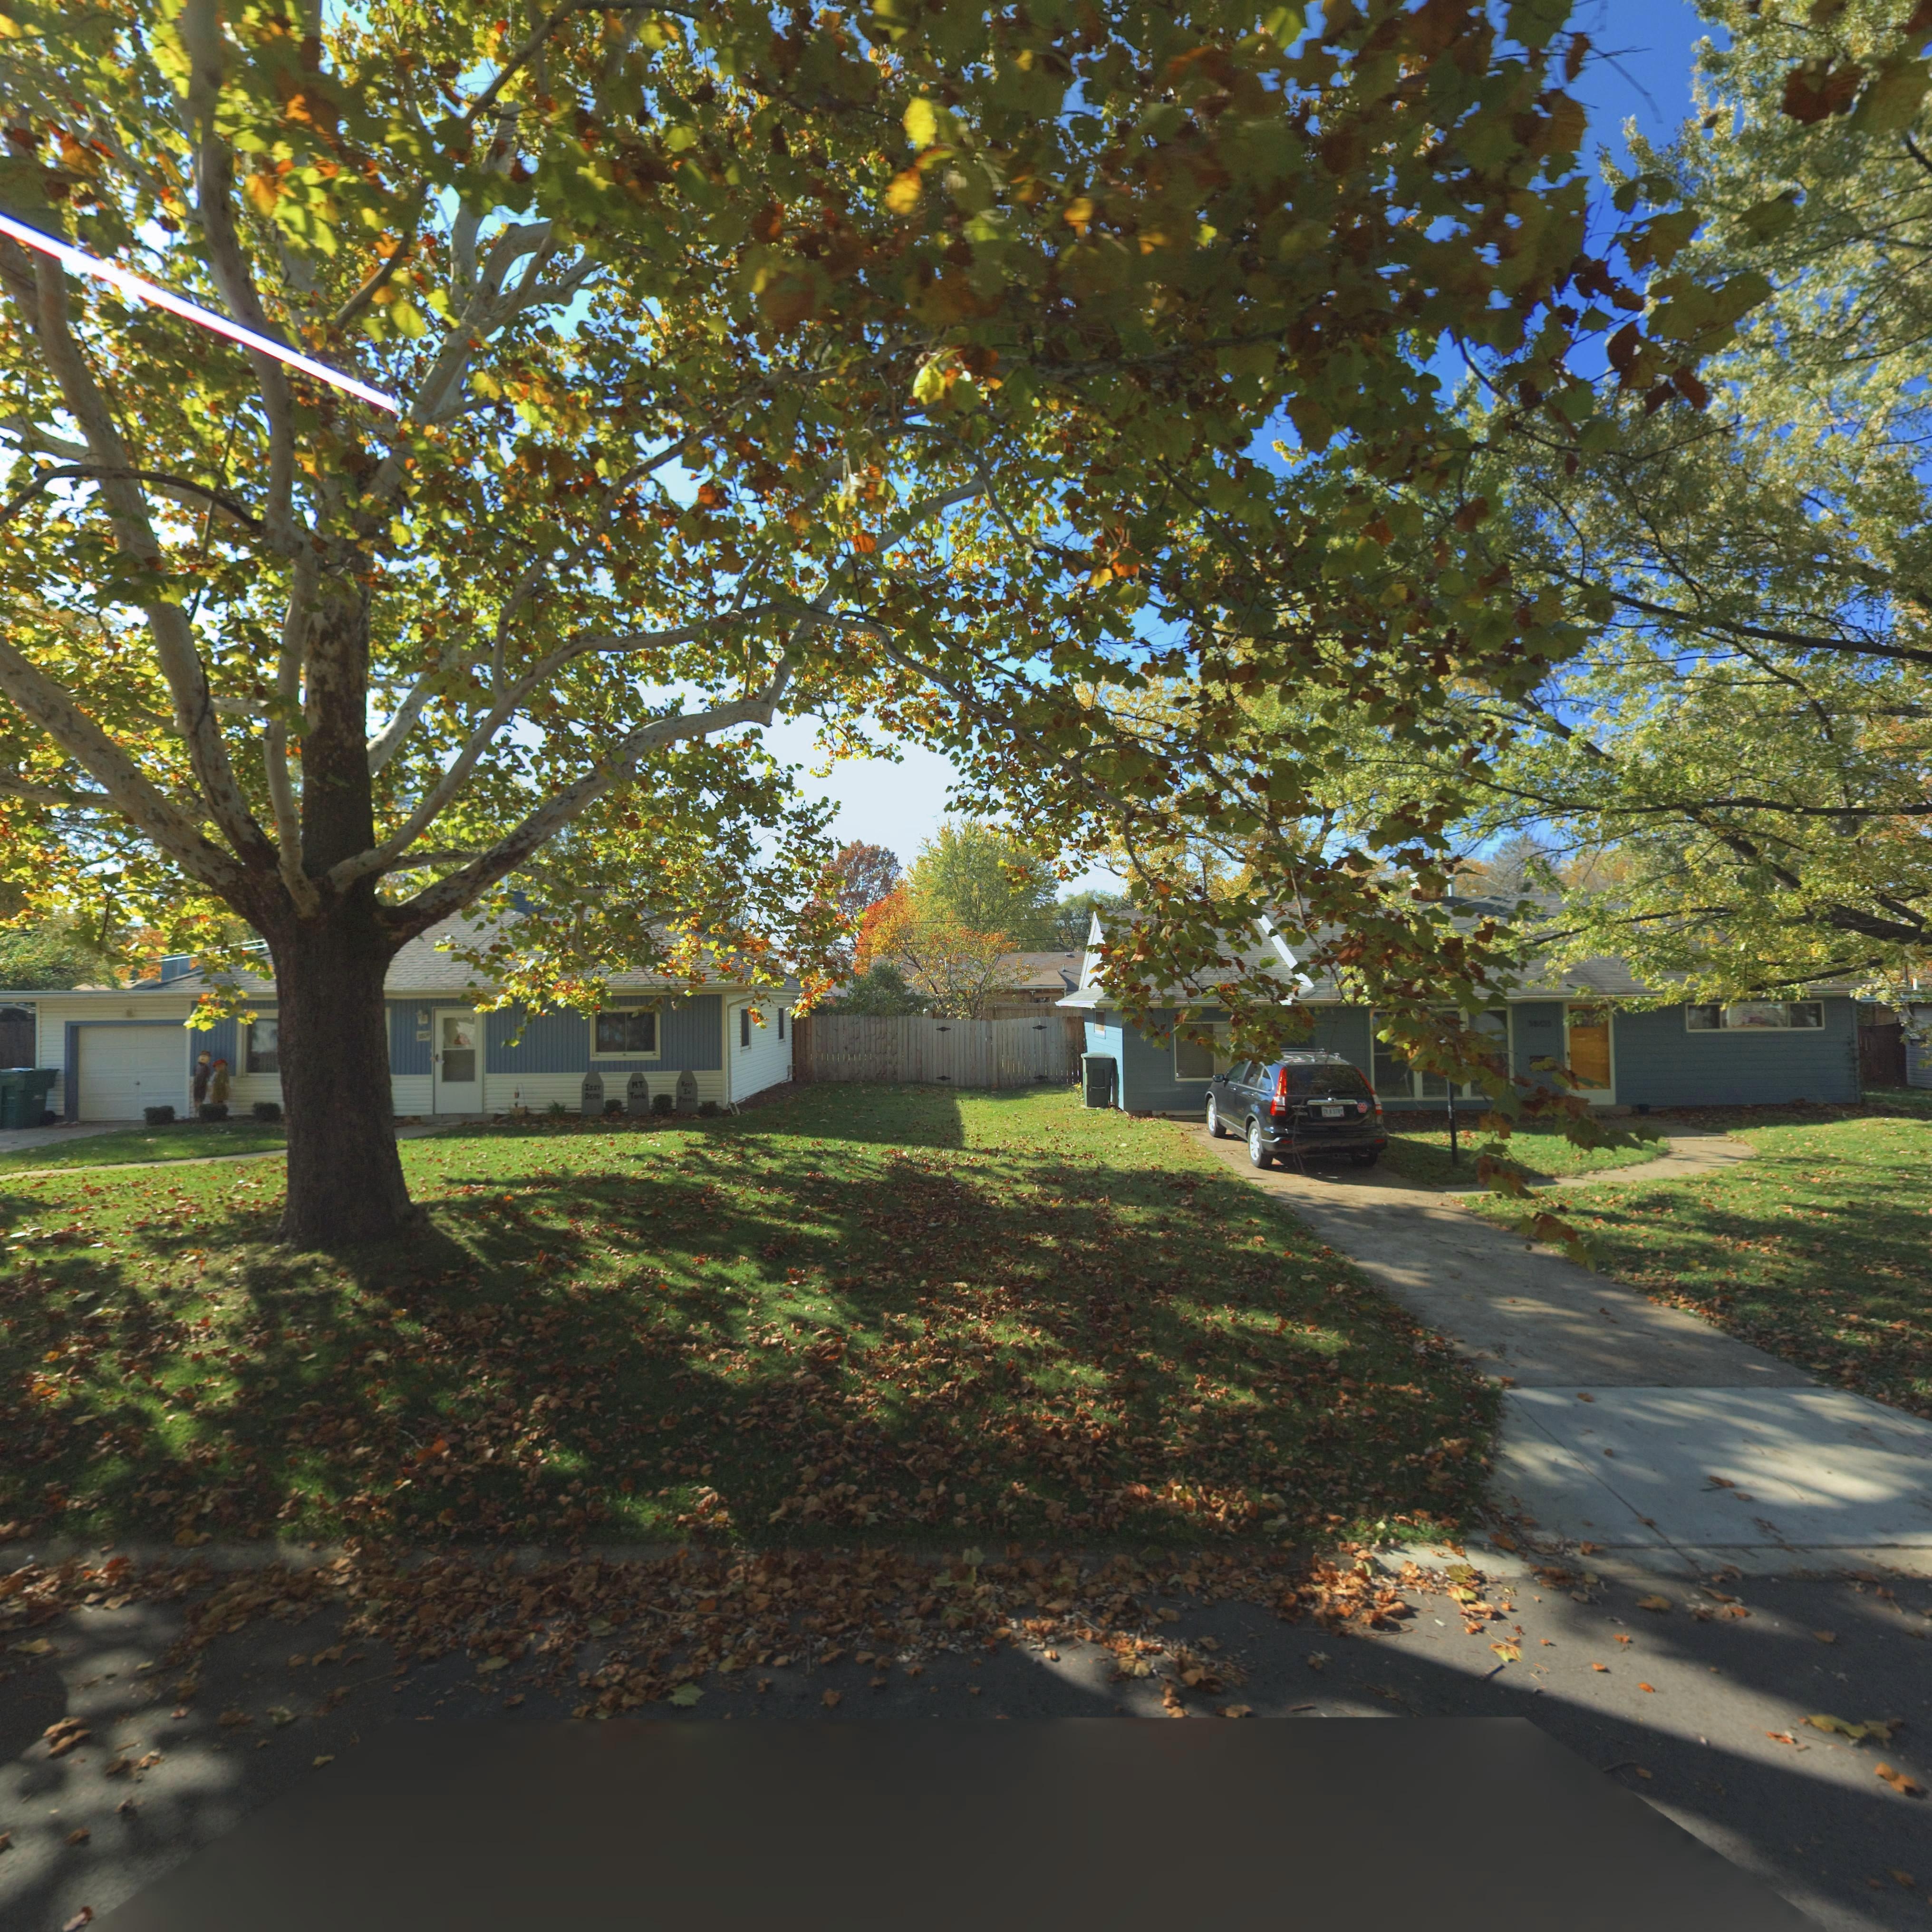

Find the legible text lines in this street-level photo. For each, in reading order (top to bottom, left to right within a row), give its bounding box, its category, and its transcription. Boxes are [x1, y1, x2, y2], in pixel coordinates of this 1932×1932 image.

[1527, 1019, 1552, 1028] StreetNumber: 3803
[416, 1031, 430, 1040] StreetNumber: 3809
[584, 1083, 601, 1091] None: IZZY
[631, 1081, 644, 1088] None: M.T.
[681, 1081, 692, 1088] None: Rest
[585, 1092, 600, 1100] None: DEAD
[629, 1091, 646, 1099] None: Tomb
[678, 1095, 695, 1103] None: Pieces
[683, 1088, 691, 1094] None: In
[1322, 1108, 1343, 1114] None: SV A STRY